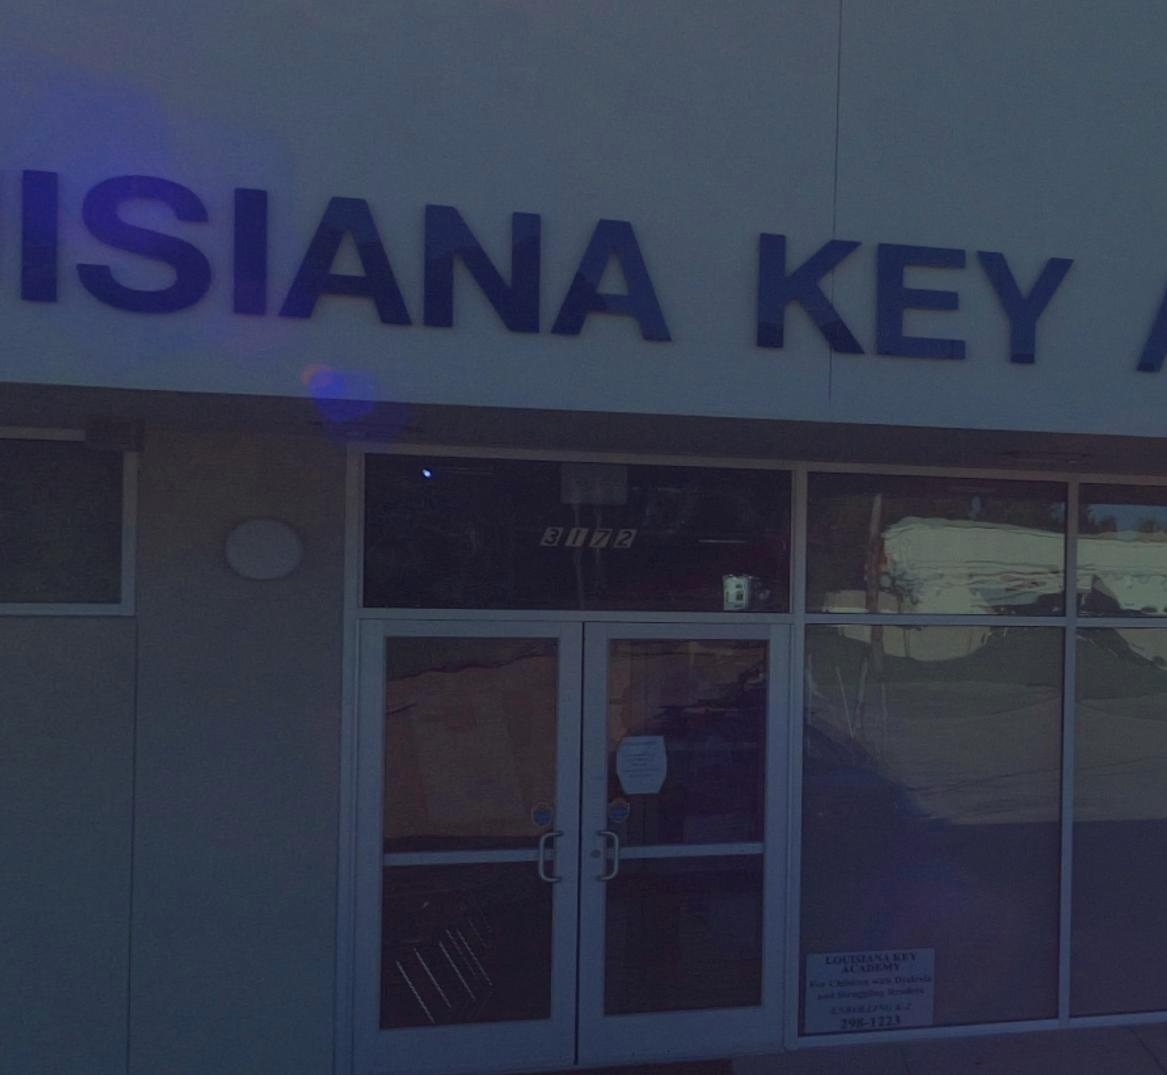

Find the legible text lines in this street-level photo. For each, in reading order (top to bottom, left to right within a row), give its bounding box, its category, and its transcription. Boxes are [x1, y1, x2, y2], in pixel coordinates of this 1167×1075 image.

[12, 156, 1085, 373] None: ISIANA KEY
[538, 526, 638, 548] StreetNumber: 3172
[838, 961, 903, 976] None: ACADEMY
[824, 950, 918, 966] None: LOUISIANA KEY
[837, 1012, 903, 1033] None: 298-1223